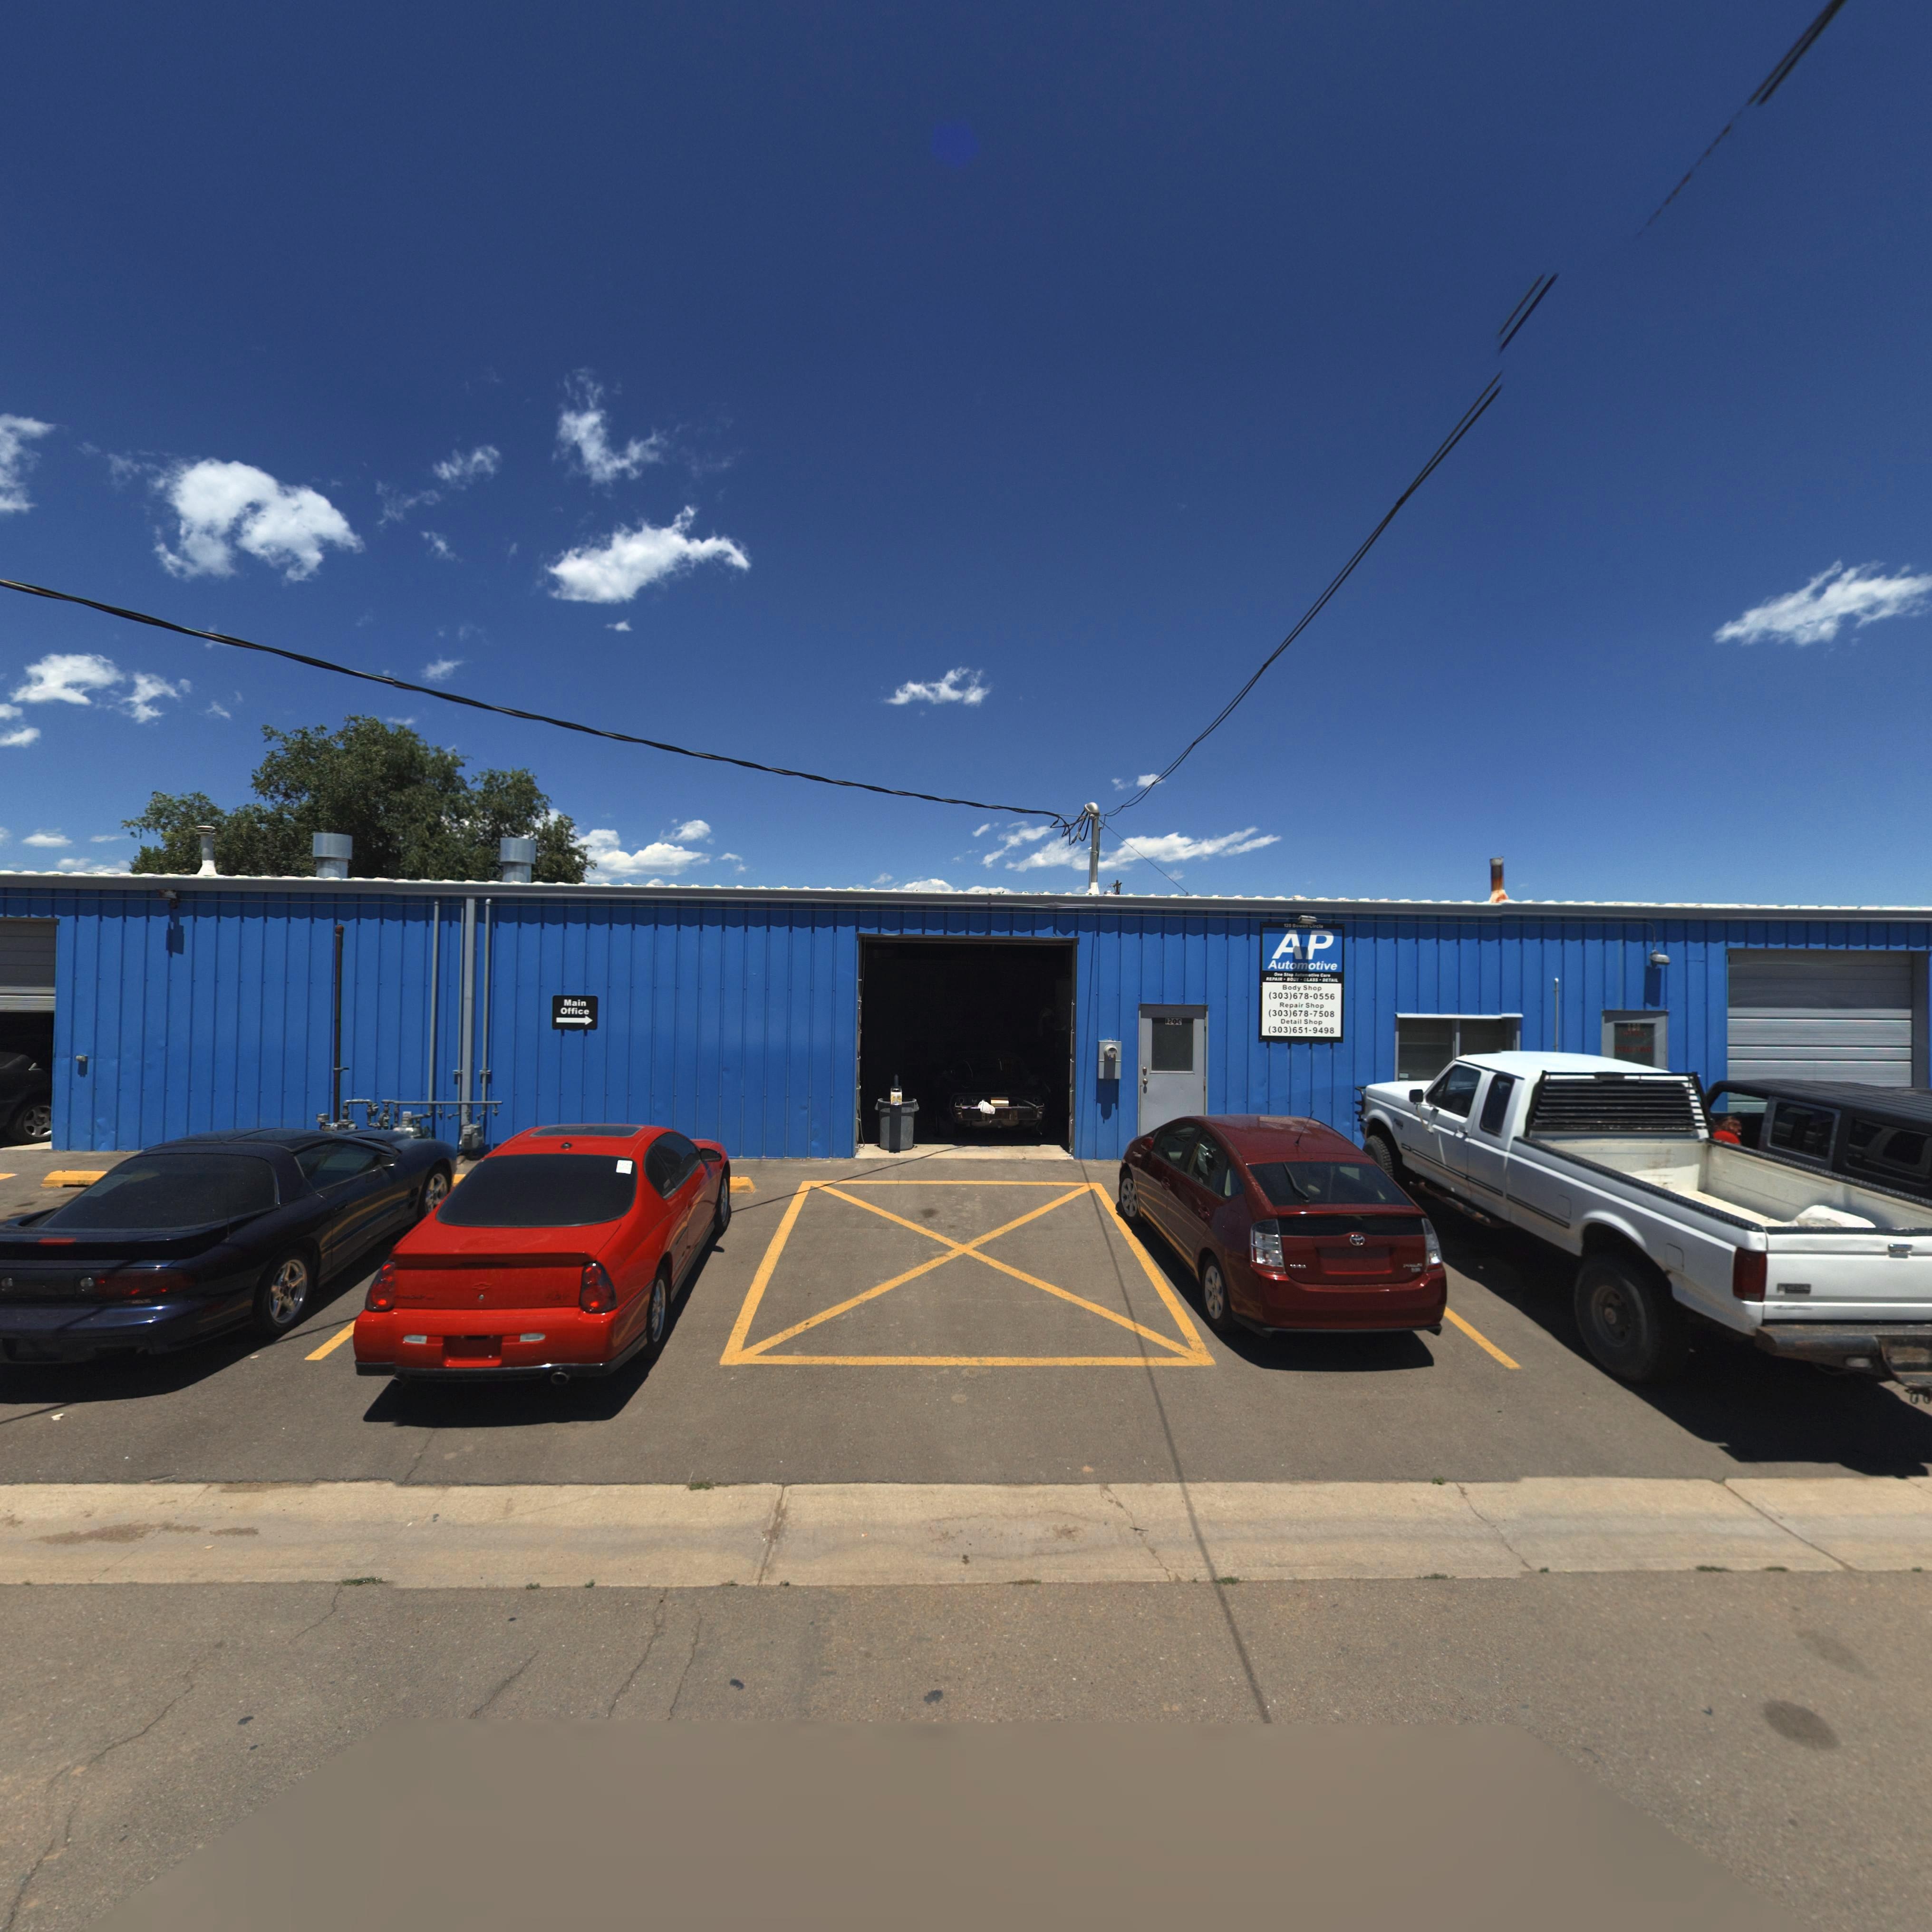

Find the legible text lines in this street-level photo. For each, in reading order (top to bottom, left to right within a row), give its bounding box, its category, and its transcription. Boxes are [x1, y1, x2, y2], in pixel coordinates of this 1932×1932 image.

[1284, 923, 1291, 927] StreetNumber: 12*
[1292, 923, 1323, 928] StreetName: Bo*** ***cl*
[1271, 929, 1334, 959] BusinessName: AP
[1267, 959, 1338, 970] BusinessName: Automotive
[1166, 1018, 1181, 1024] StreetNumber: 120C
[1627, 1023, 1641, 1031] StreetNumber: 12*